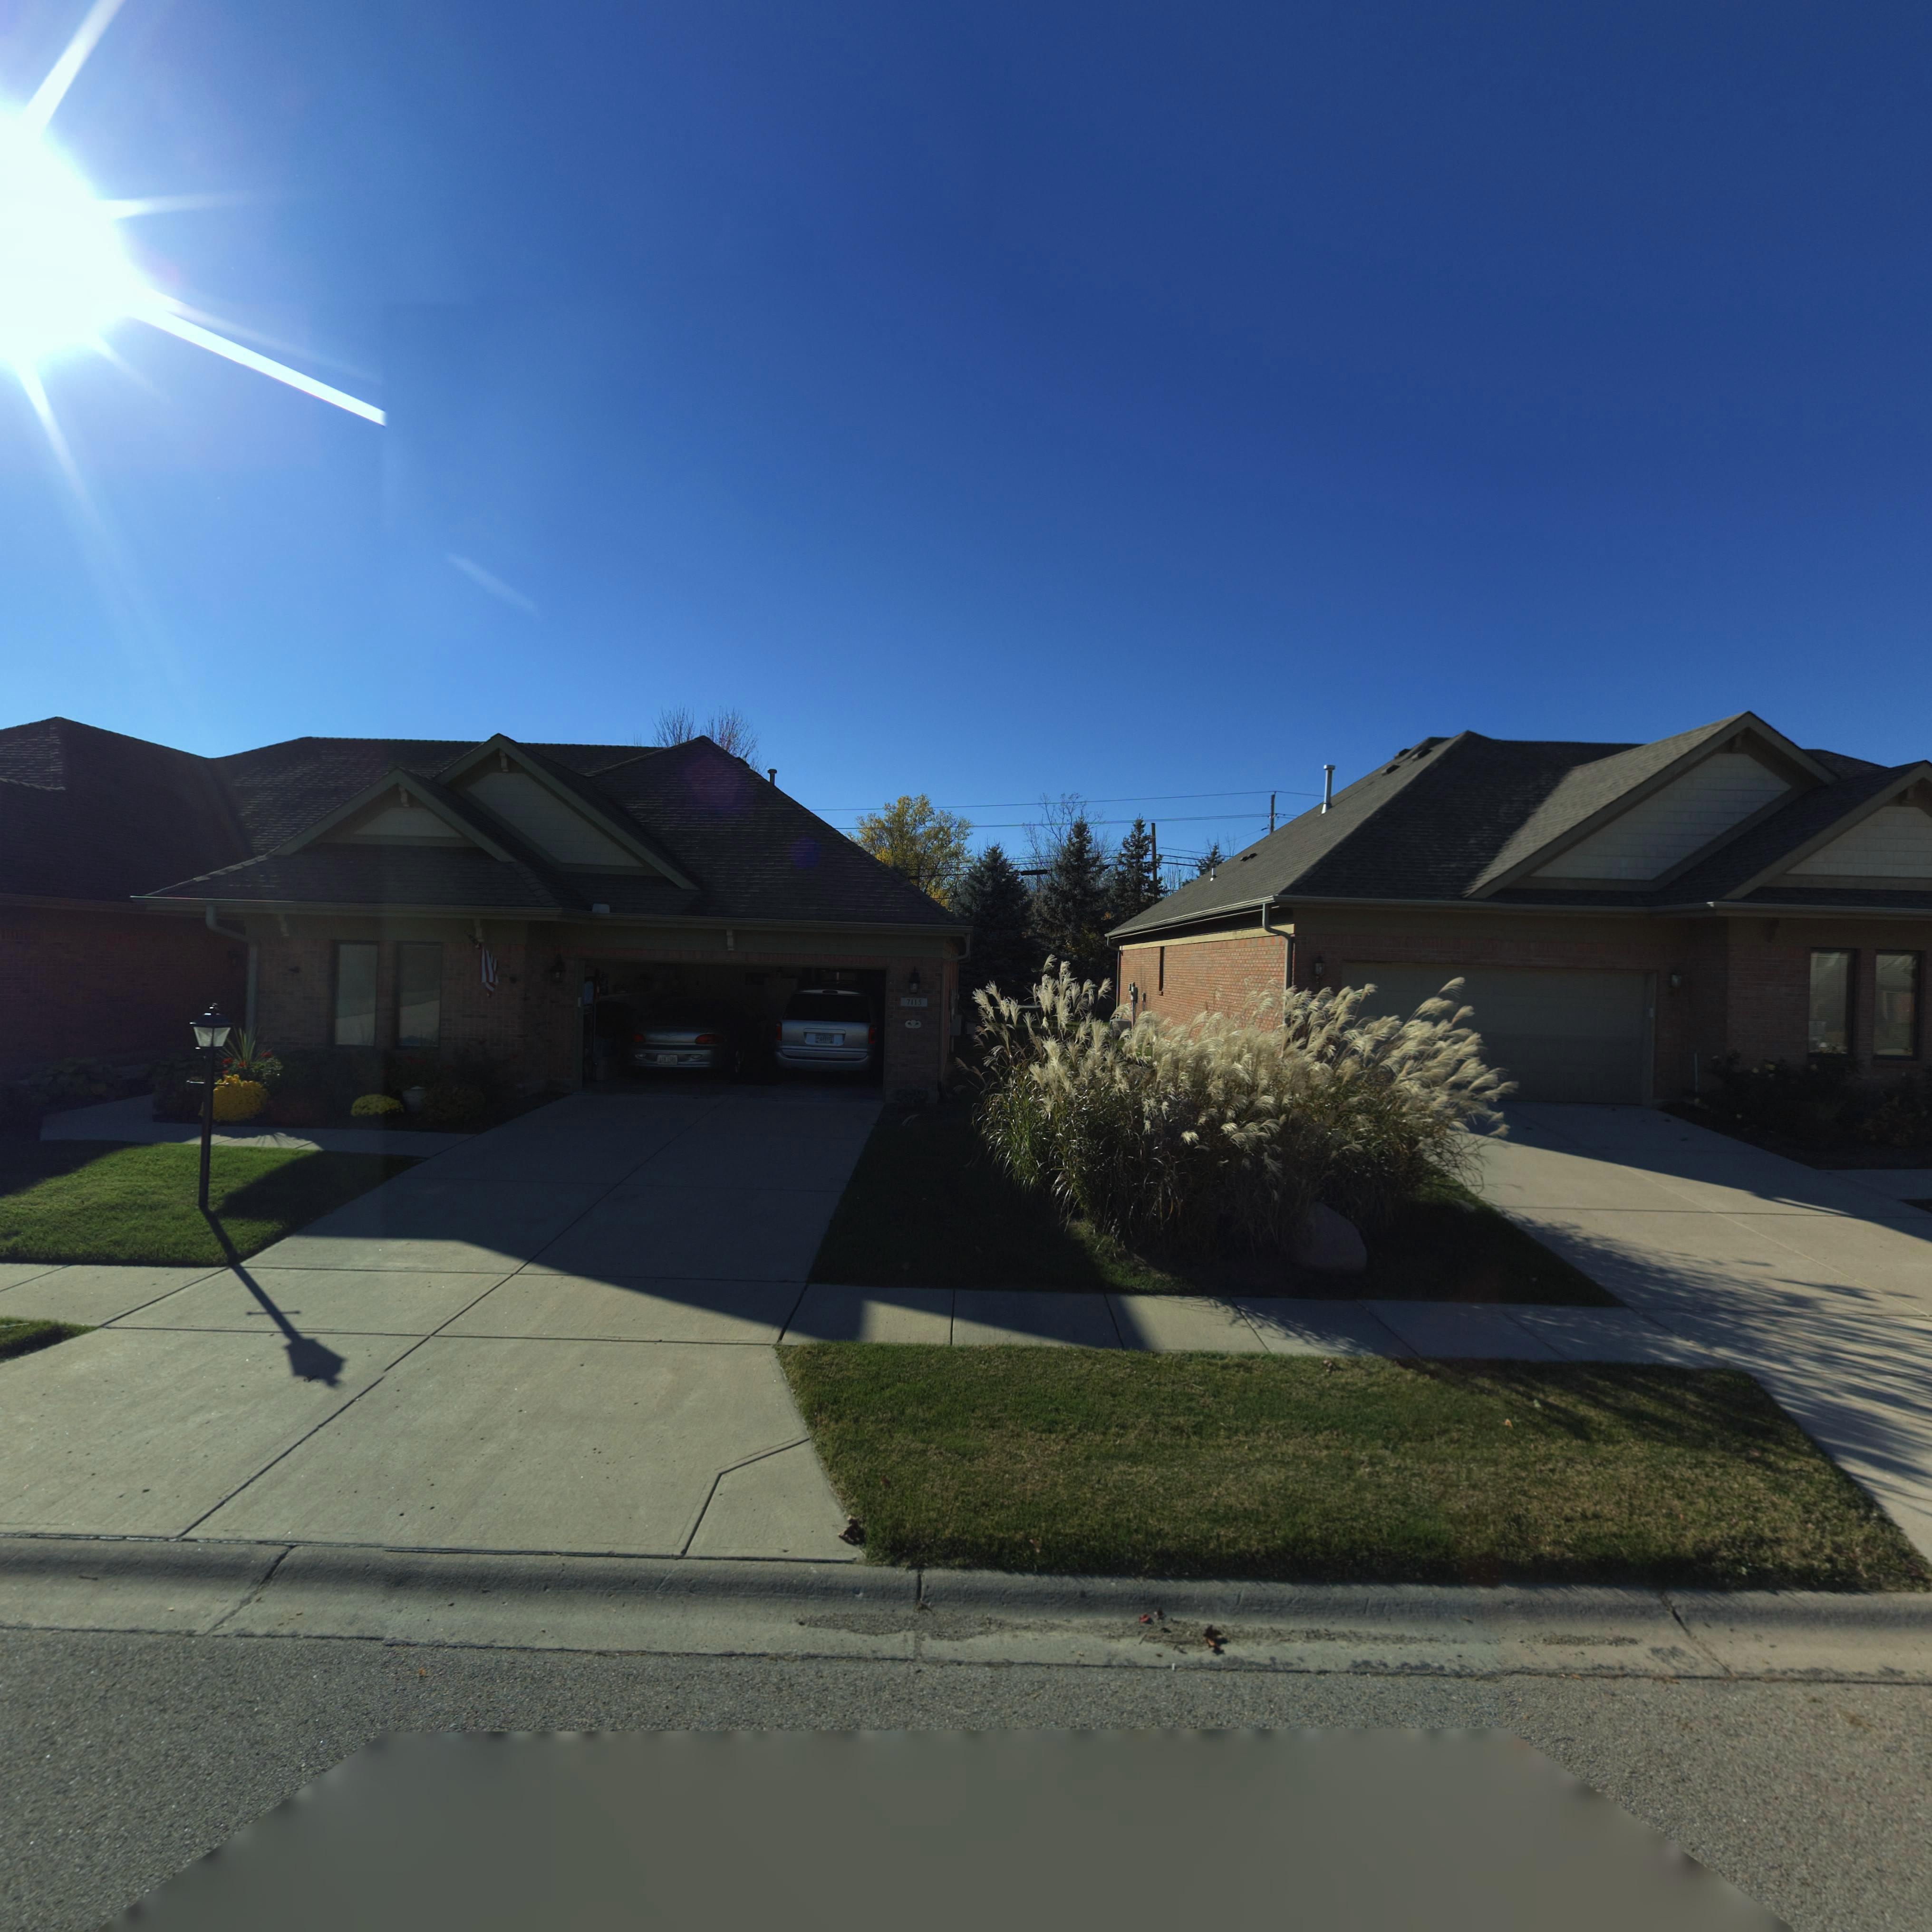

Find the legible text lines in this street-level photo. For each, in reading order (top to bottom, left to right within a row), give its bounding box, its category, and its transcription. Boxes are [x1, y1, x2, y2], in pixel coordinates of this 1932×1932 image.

[906, 998, 922, 1006] StreetNumber: 7115